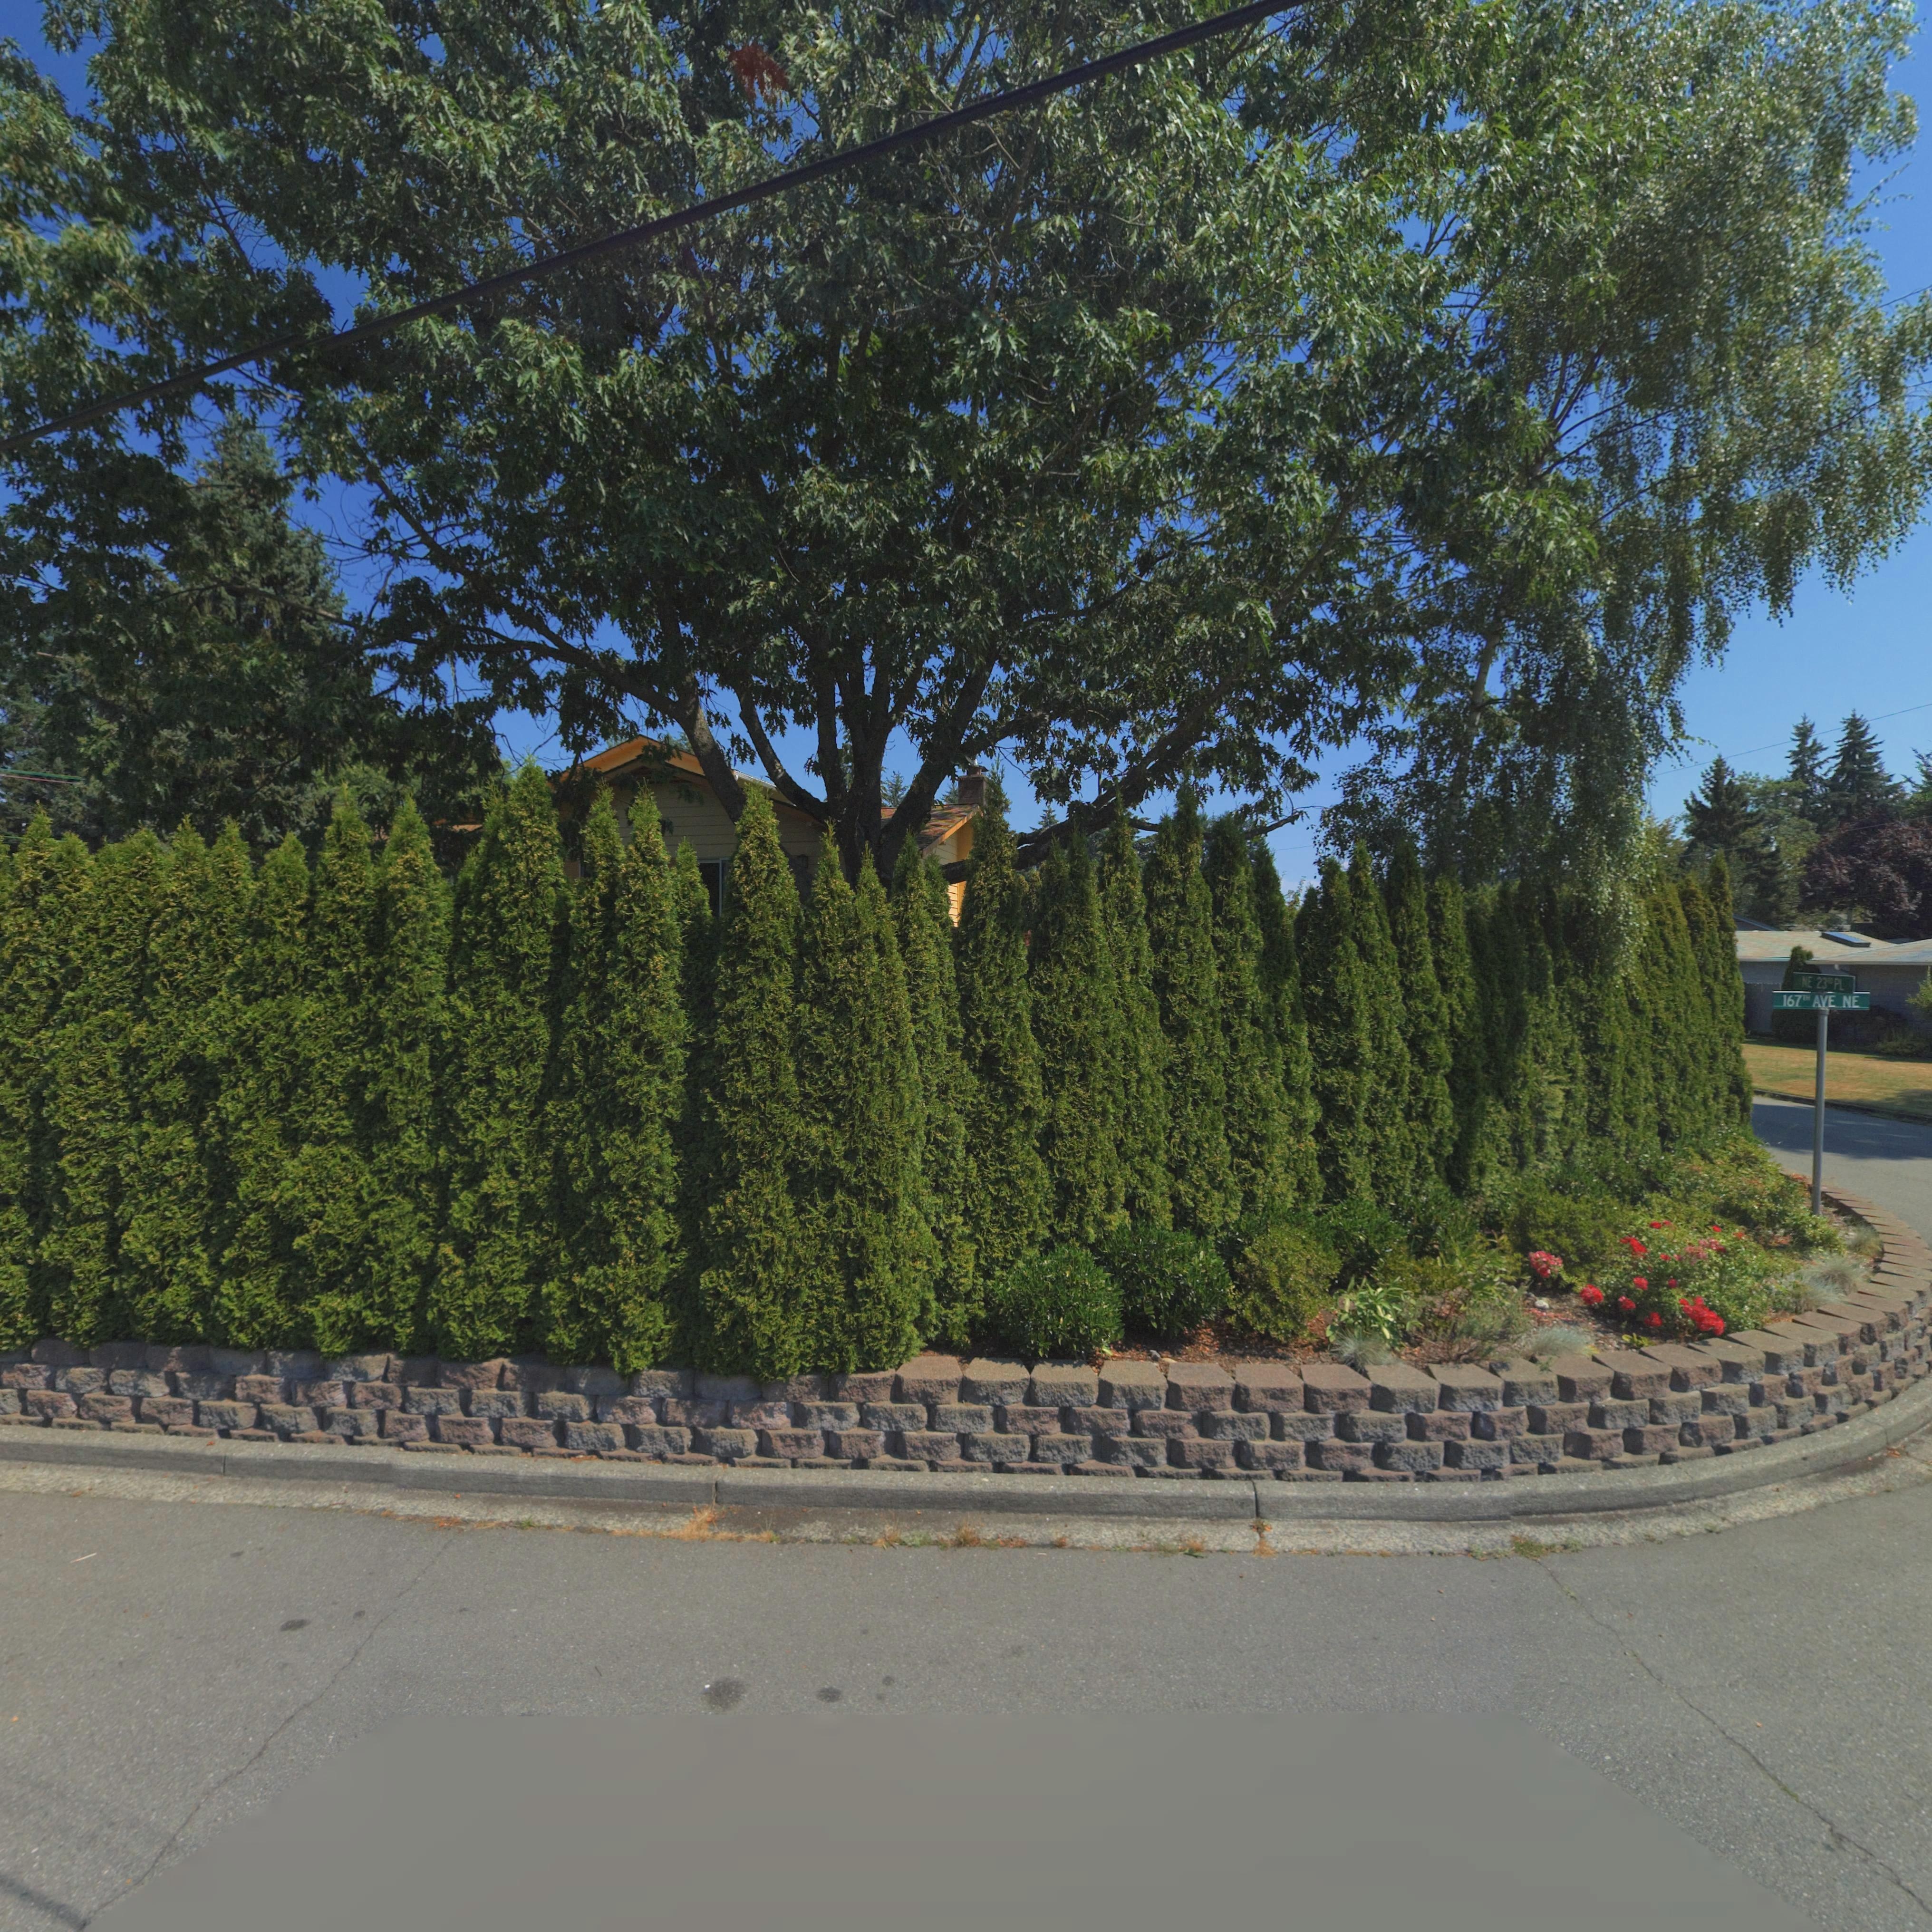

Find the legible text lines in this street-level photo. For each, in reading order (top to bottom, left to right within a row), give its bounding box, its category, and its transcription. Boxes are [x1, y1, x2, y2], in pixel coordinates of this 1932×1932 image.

[1801, 976, 1845, 991] StreetName: NE 23rs PL
[1781, 994, 1861, 1008] StreetName: 167th AVE NE